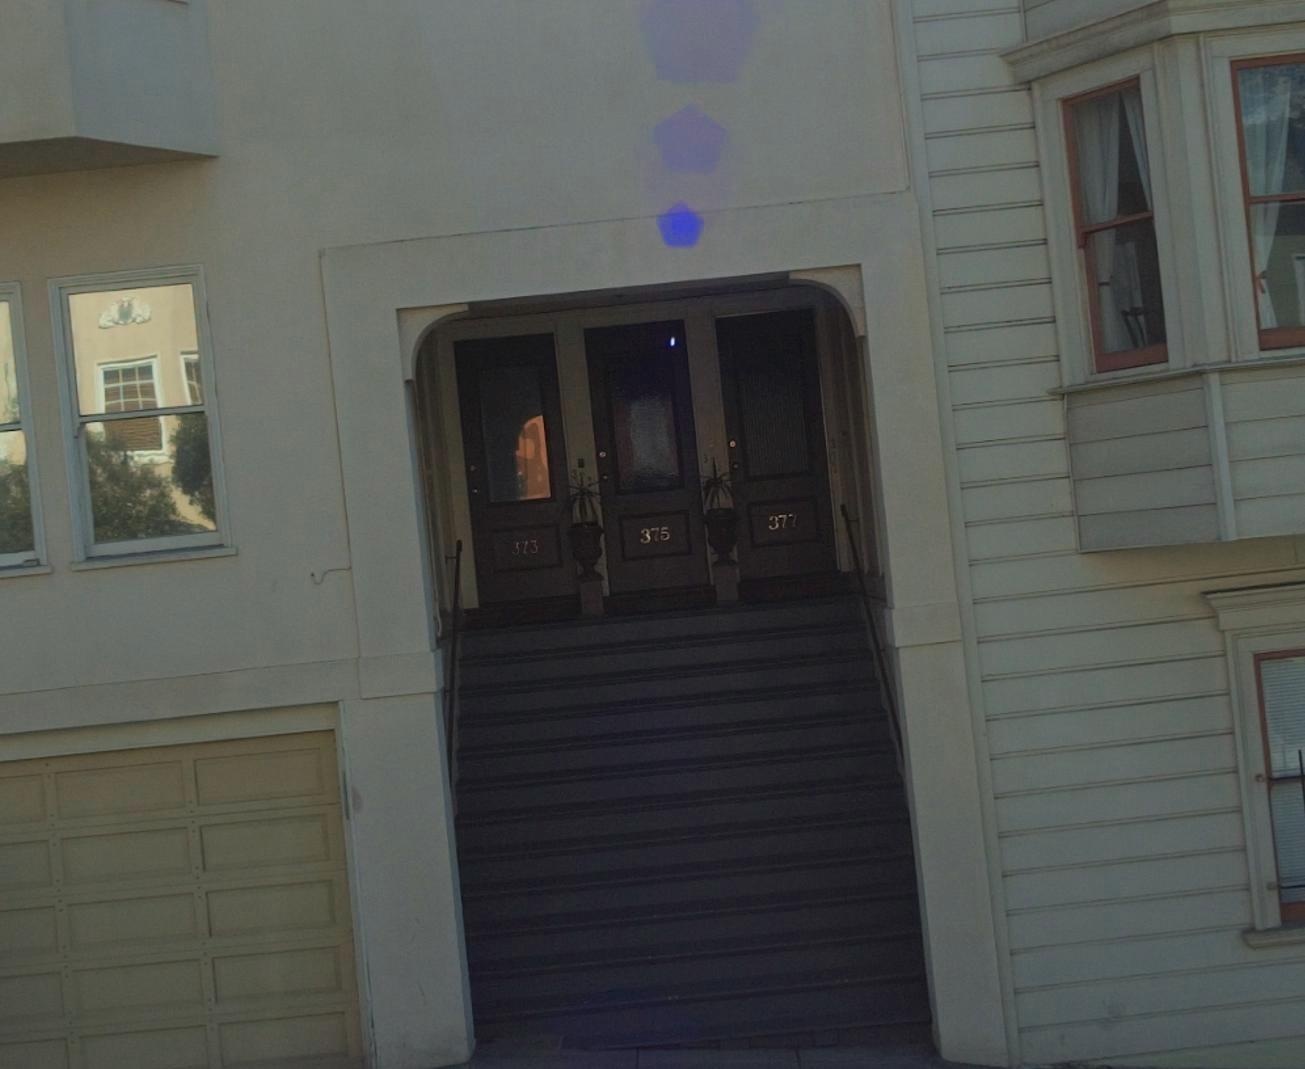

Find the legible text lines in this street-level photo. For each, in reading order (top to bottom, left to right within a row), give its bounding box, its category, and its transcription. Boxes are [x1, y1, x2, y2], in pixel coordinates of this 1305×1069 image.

[767, 512, 798, 531] StreetNumber: 377
[639, 525, 671, 545] StreetNumber: 375
[511, 538, 539, 556] StreetNumber: 373